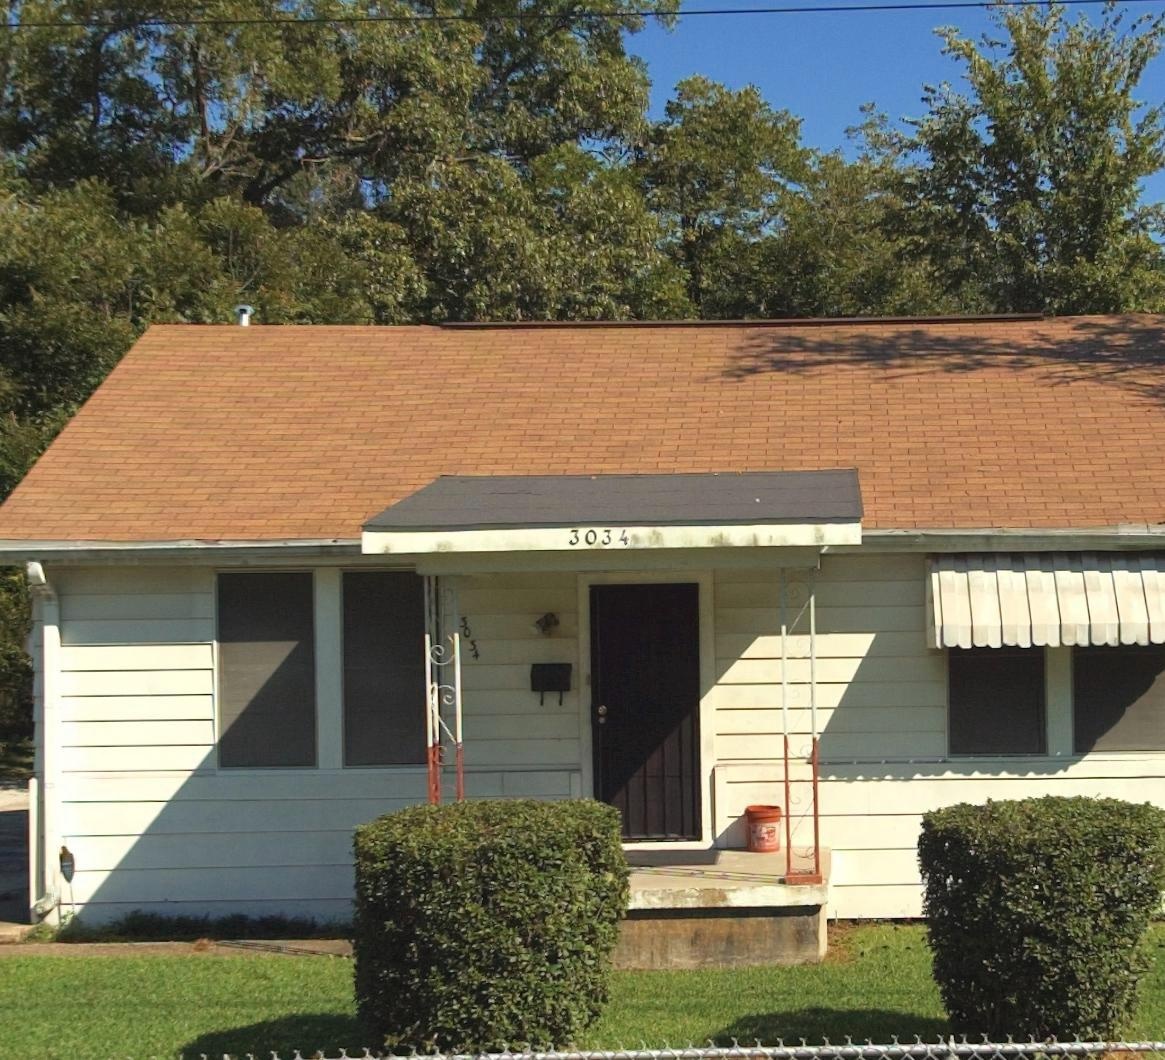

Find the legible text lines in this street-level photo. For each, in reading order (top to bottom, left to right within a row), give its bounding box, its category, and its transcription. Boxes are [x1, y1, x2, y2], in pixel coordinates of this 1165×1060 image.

[568, 527, 630, 547] StreetNumber: 3034
[456, 612, 482, 664] StreetNumber: 3034